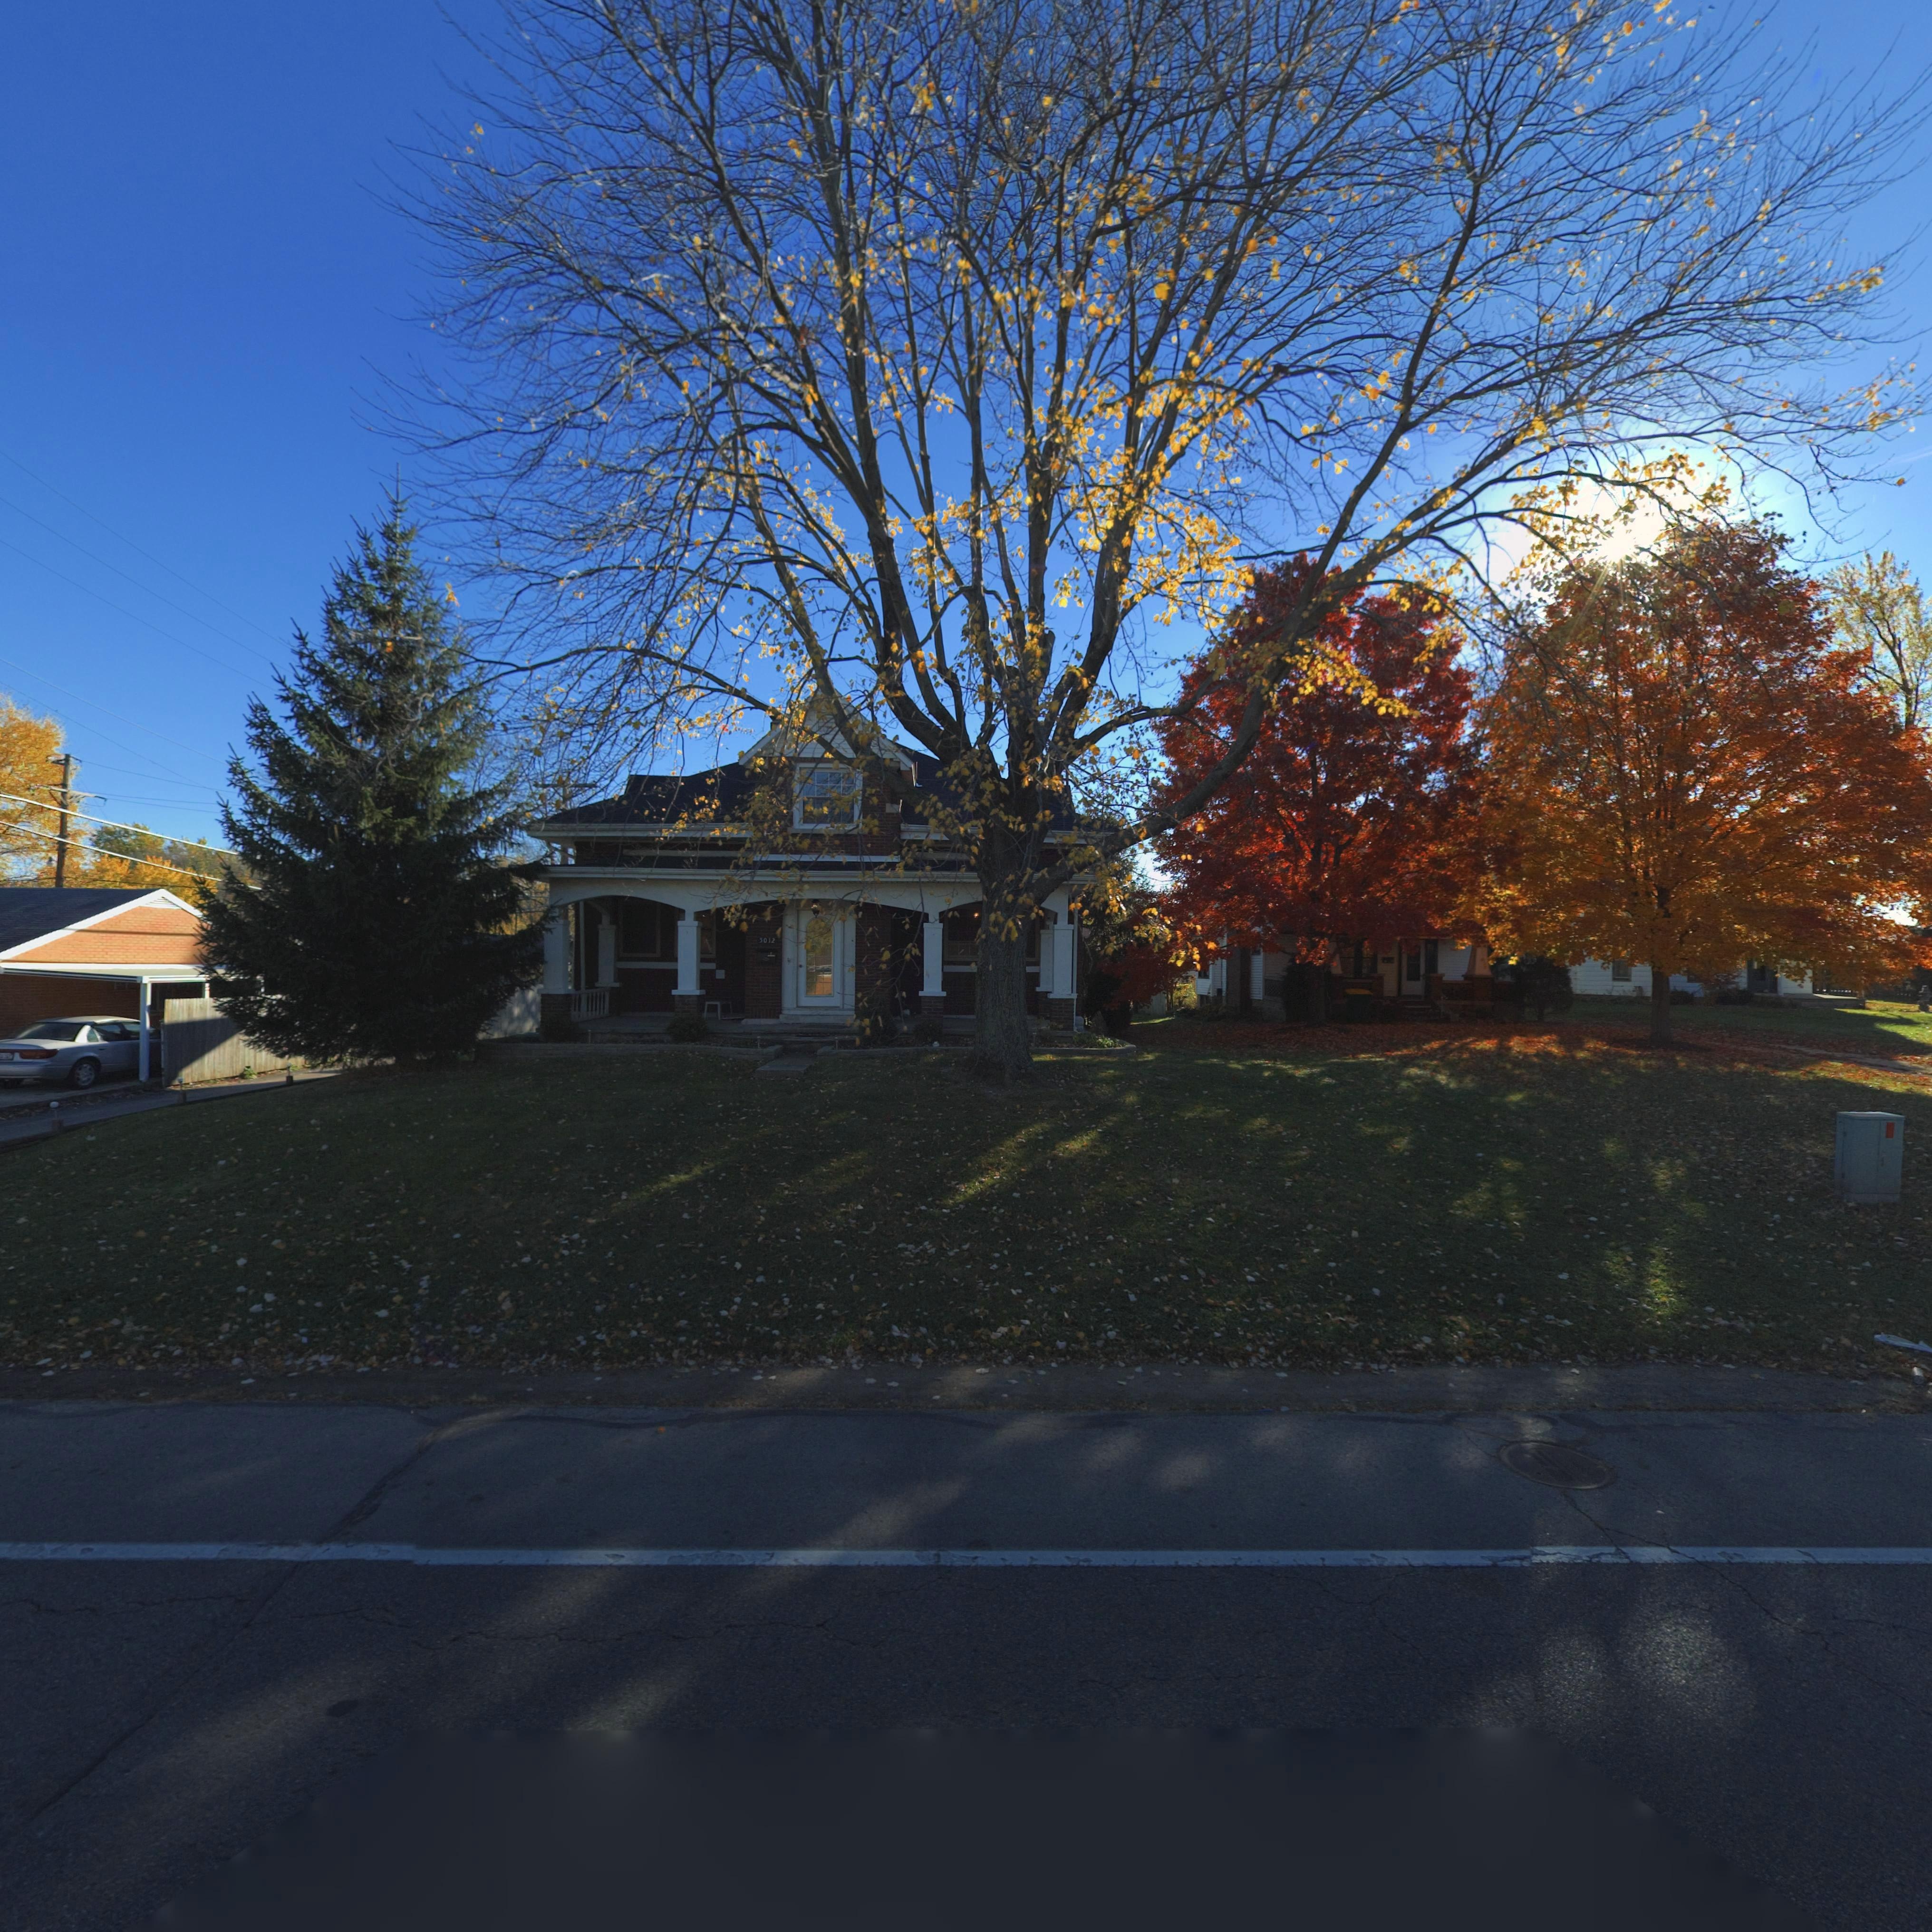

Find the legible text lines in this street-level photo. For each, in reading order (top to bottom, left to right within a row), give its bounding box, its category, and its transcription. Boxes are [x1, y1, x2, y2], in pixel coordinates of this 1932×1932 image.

[758, 937, 776, 944] StreetNumber: 5012